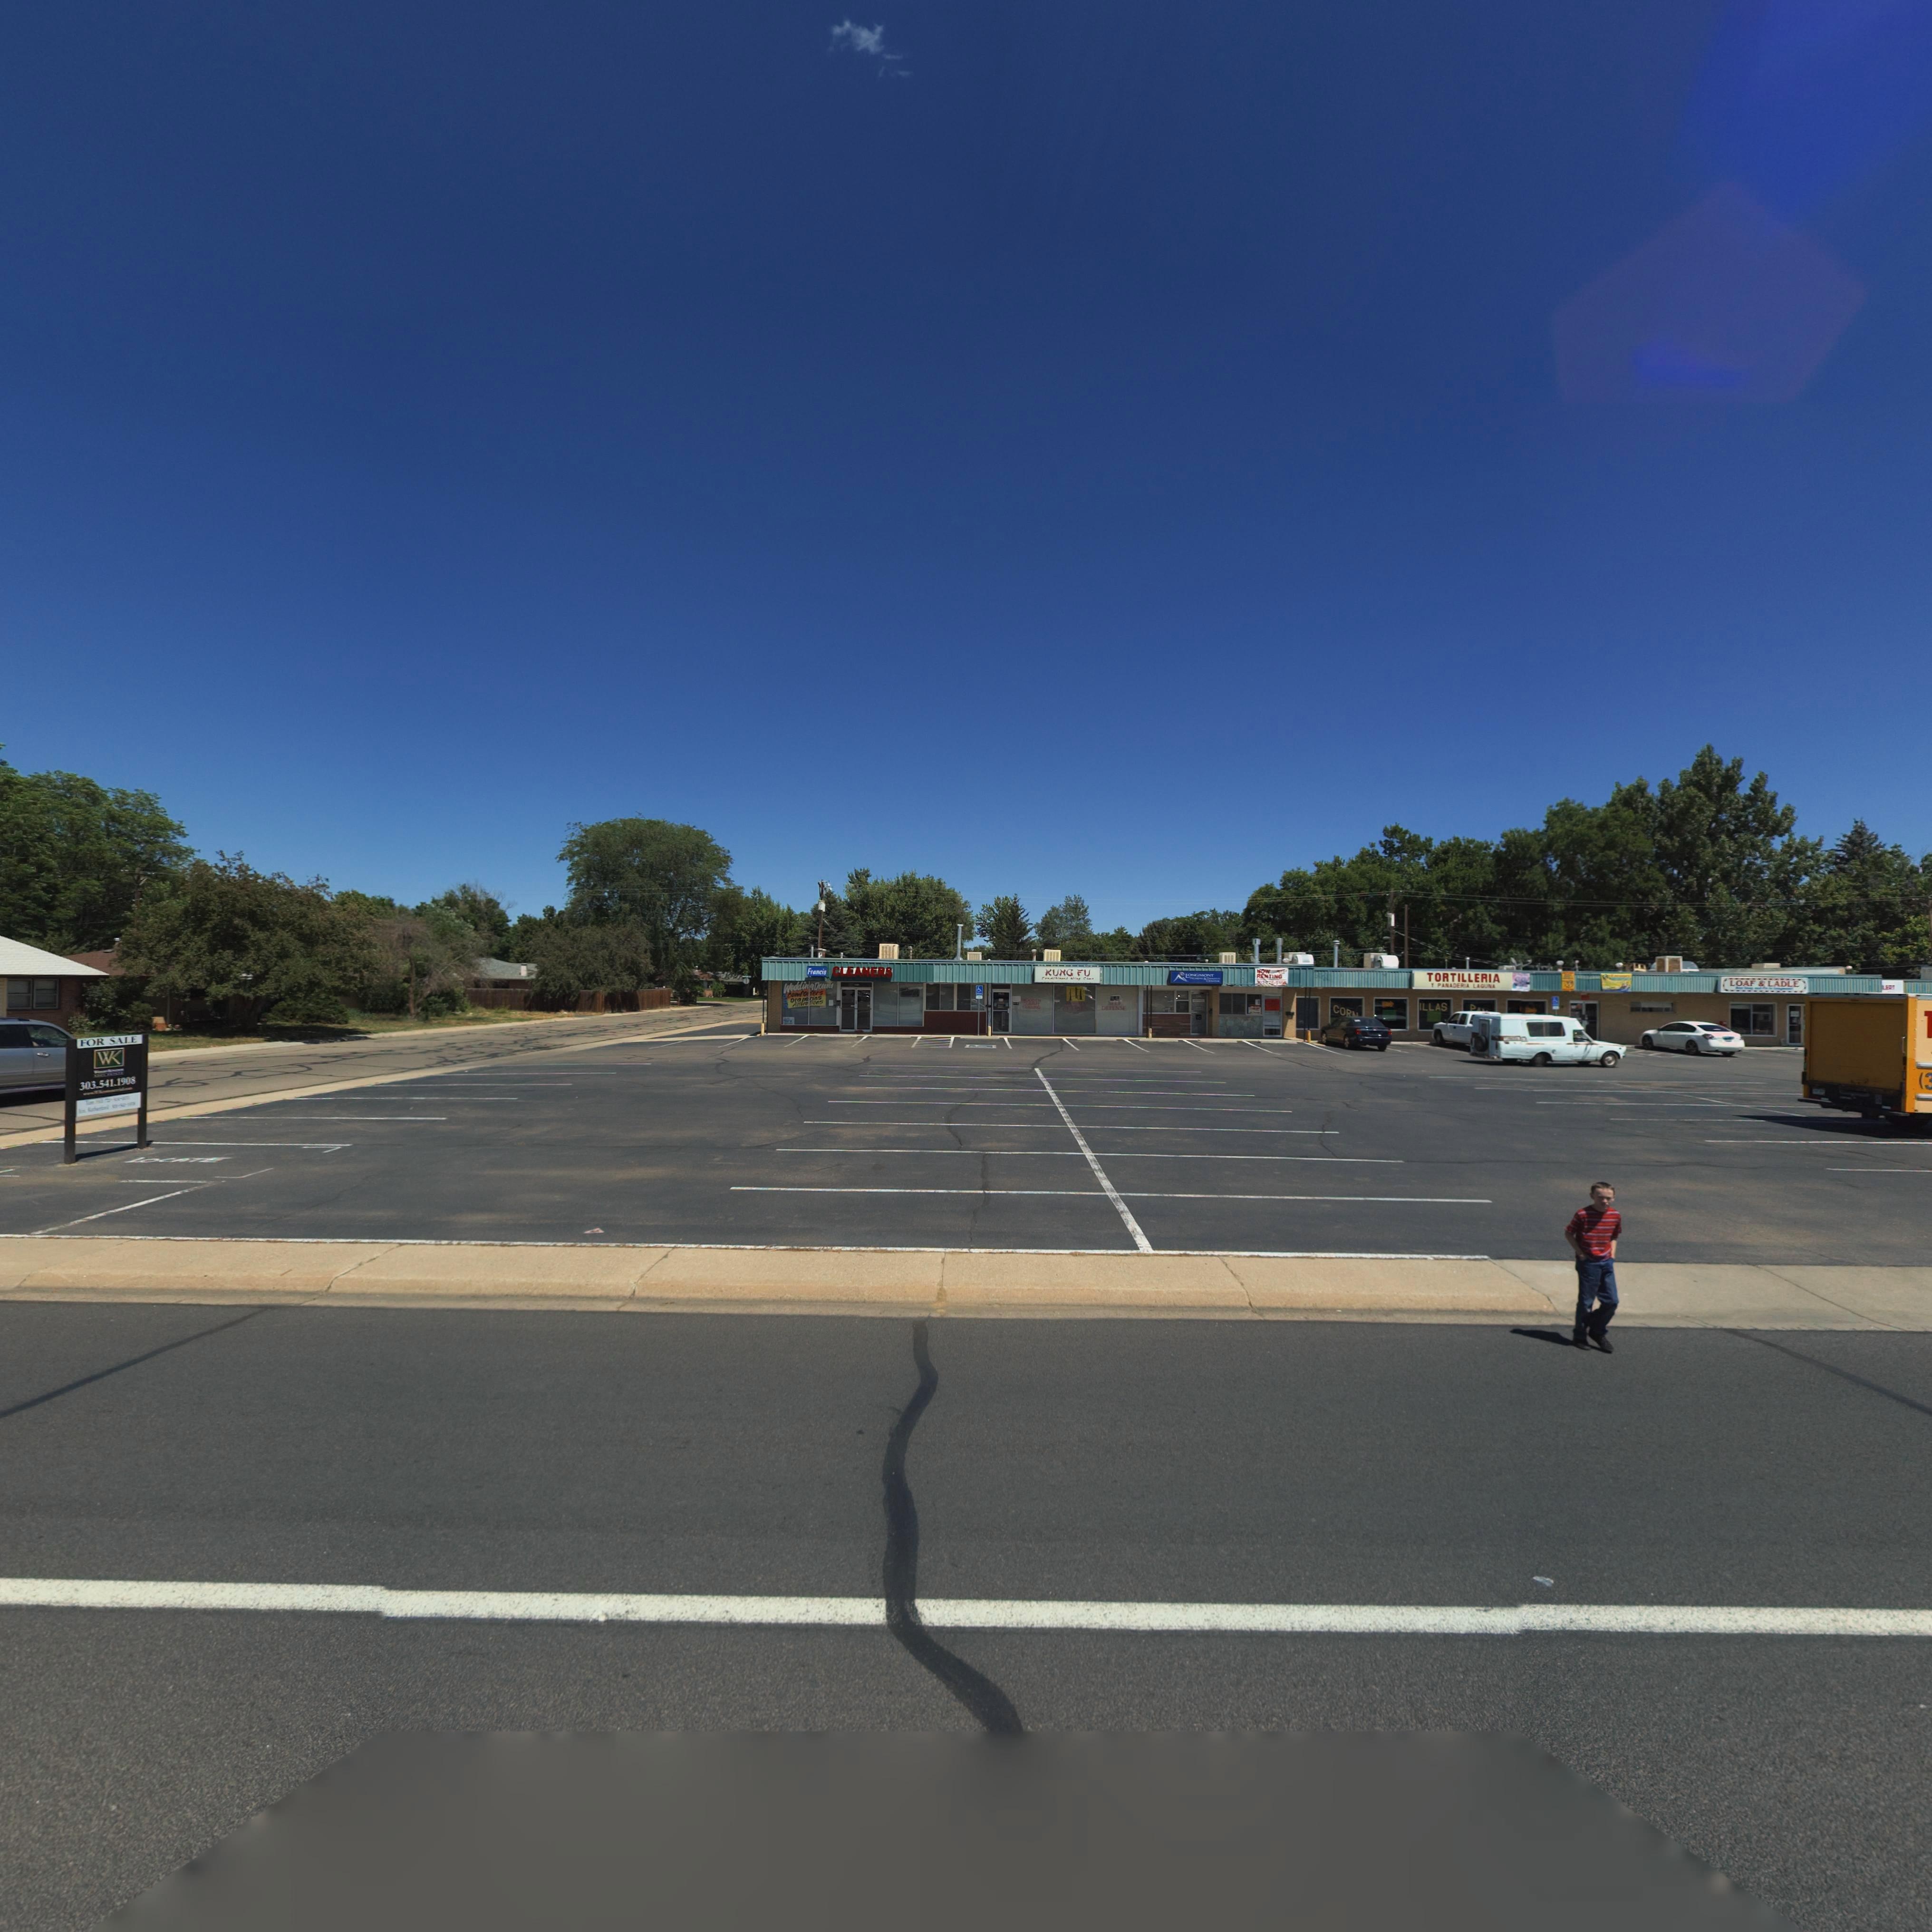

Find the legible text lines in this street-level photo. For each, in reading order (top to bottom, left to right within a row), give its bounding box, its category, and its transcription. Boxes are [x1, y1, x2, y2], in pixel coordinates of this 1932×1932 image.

[807, 967, 826, 975] BusinessName: Francis
[831, 966, 892, 977] BusinessName: CLEANERS
[1044, 967, 1091, 976] BusinessName: KUNG FU
[1426, 972, 1500, 984] BusinessName: TORTILLERIA
[1430, 982, 1496, 988] BusinessName: * PANADERIA LAGUNA
[1729, 979, 1800, 988] BusinessName: LOAF * LADLE
[1882, 984, 1895, 990] BusinessName: LERT